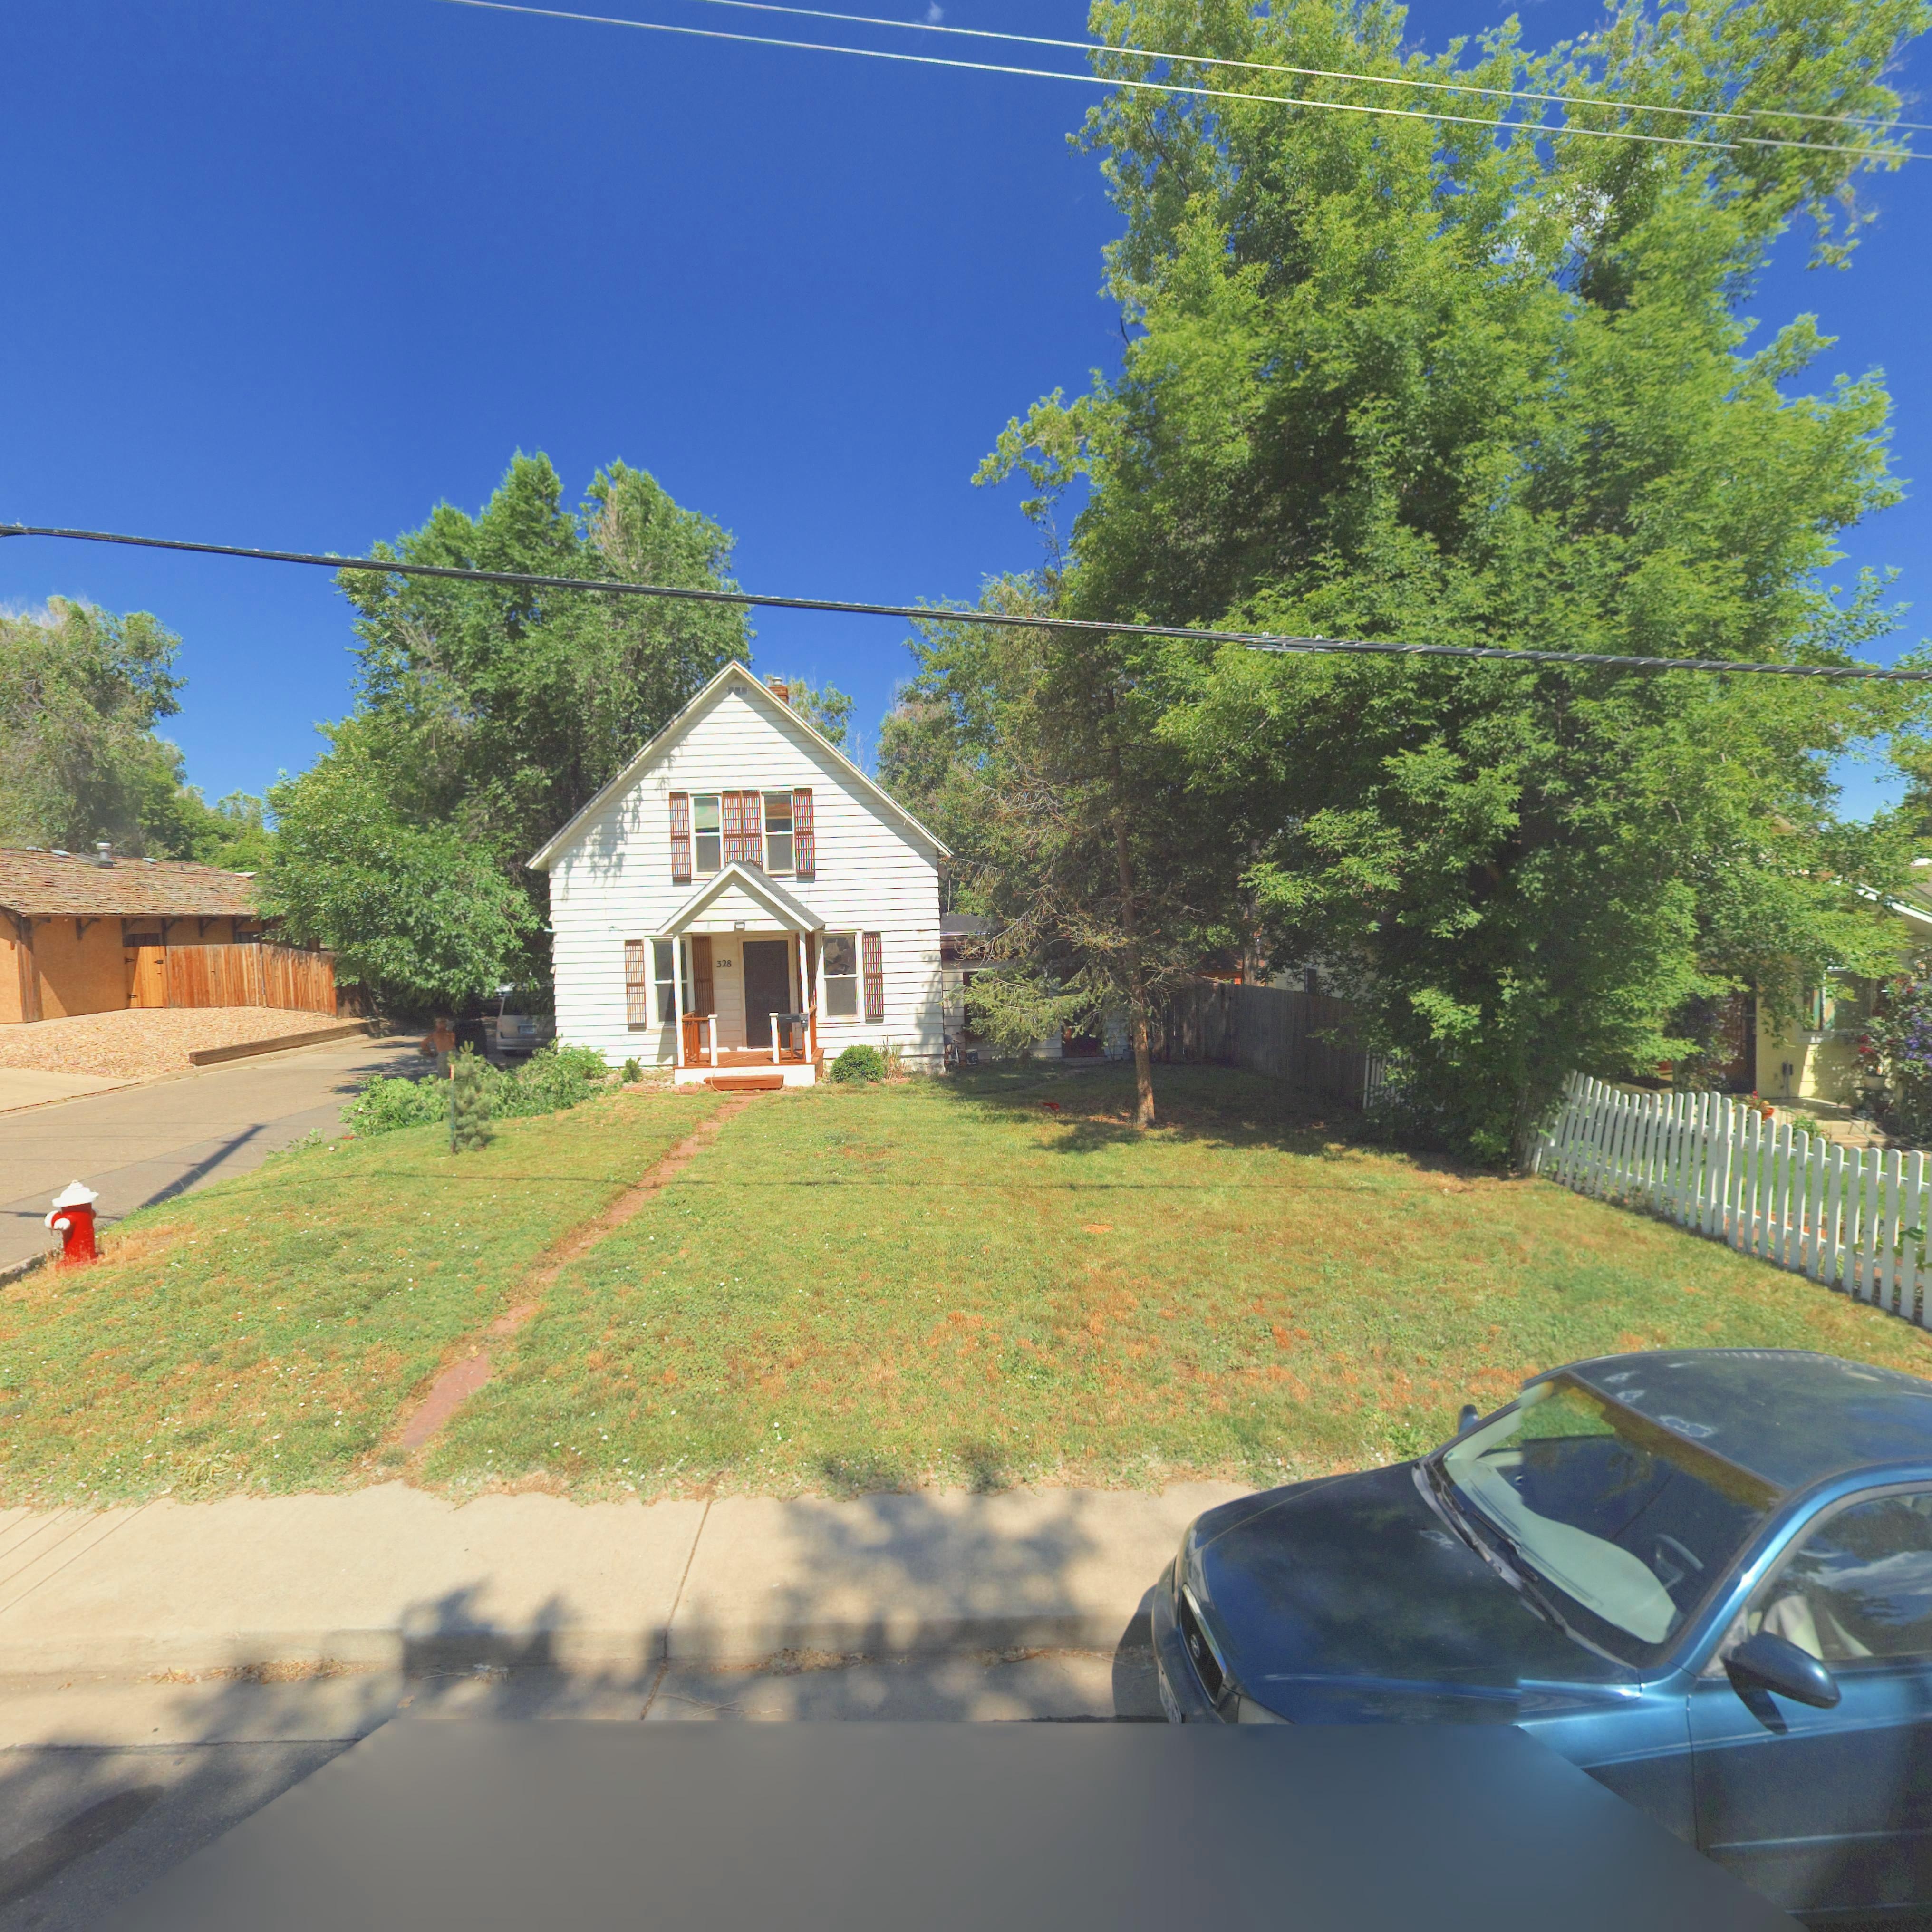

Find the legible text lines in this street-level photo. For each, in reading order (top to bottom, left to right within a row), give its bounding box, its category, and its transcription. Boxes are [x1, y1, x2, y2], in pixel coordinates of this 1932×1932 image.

[716, 959, 731, 968] StreetNumber: 328